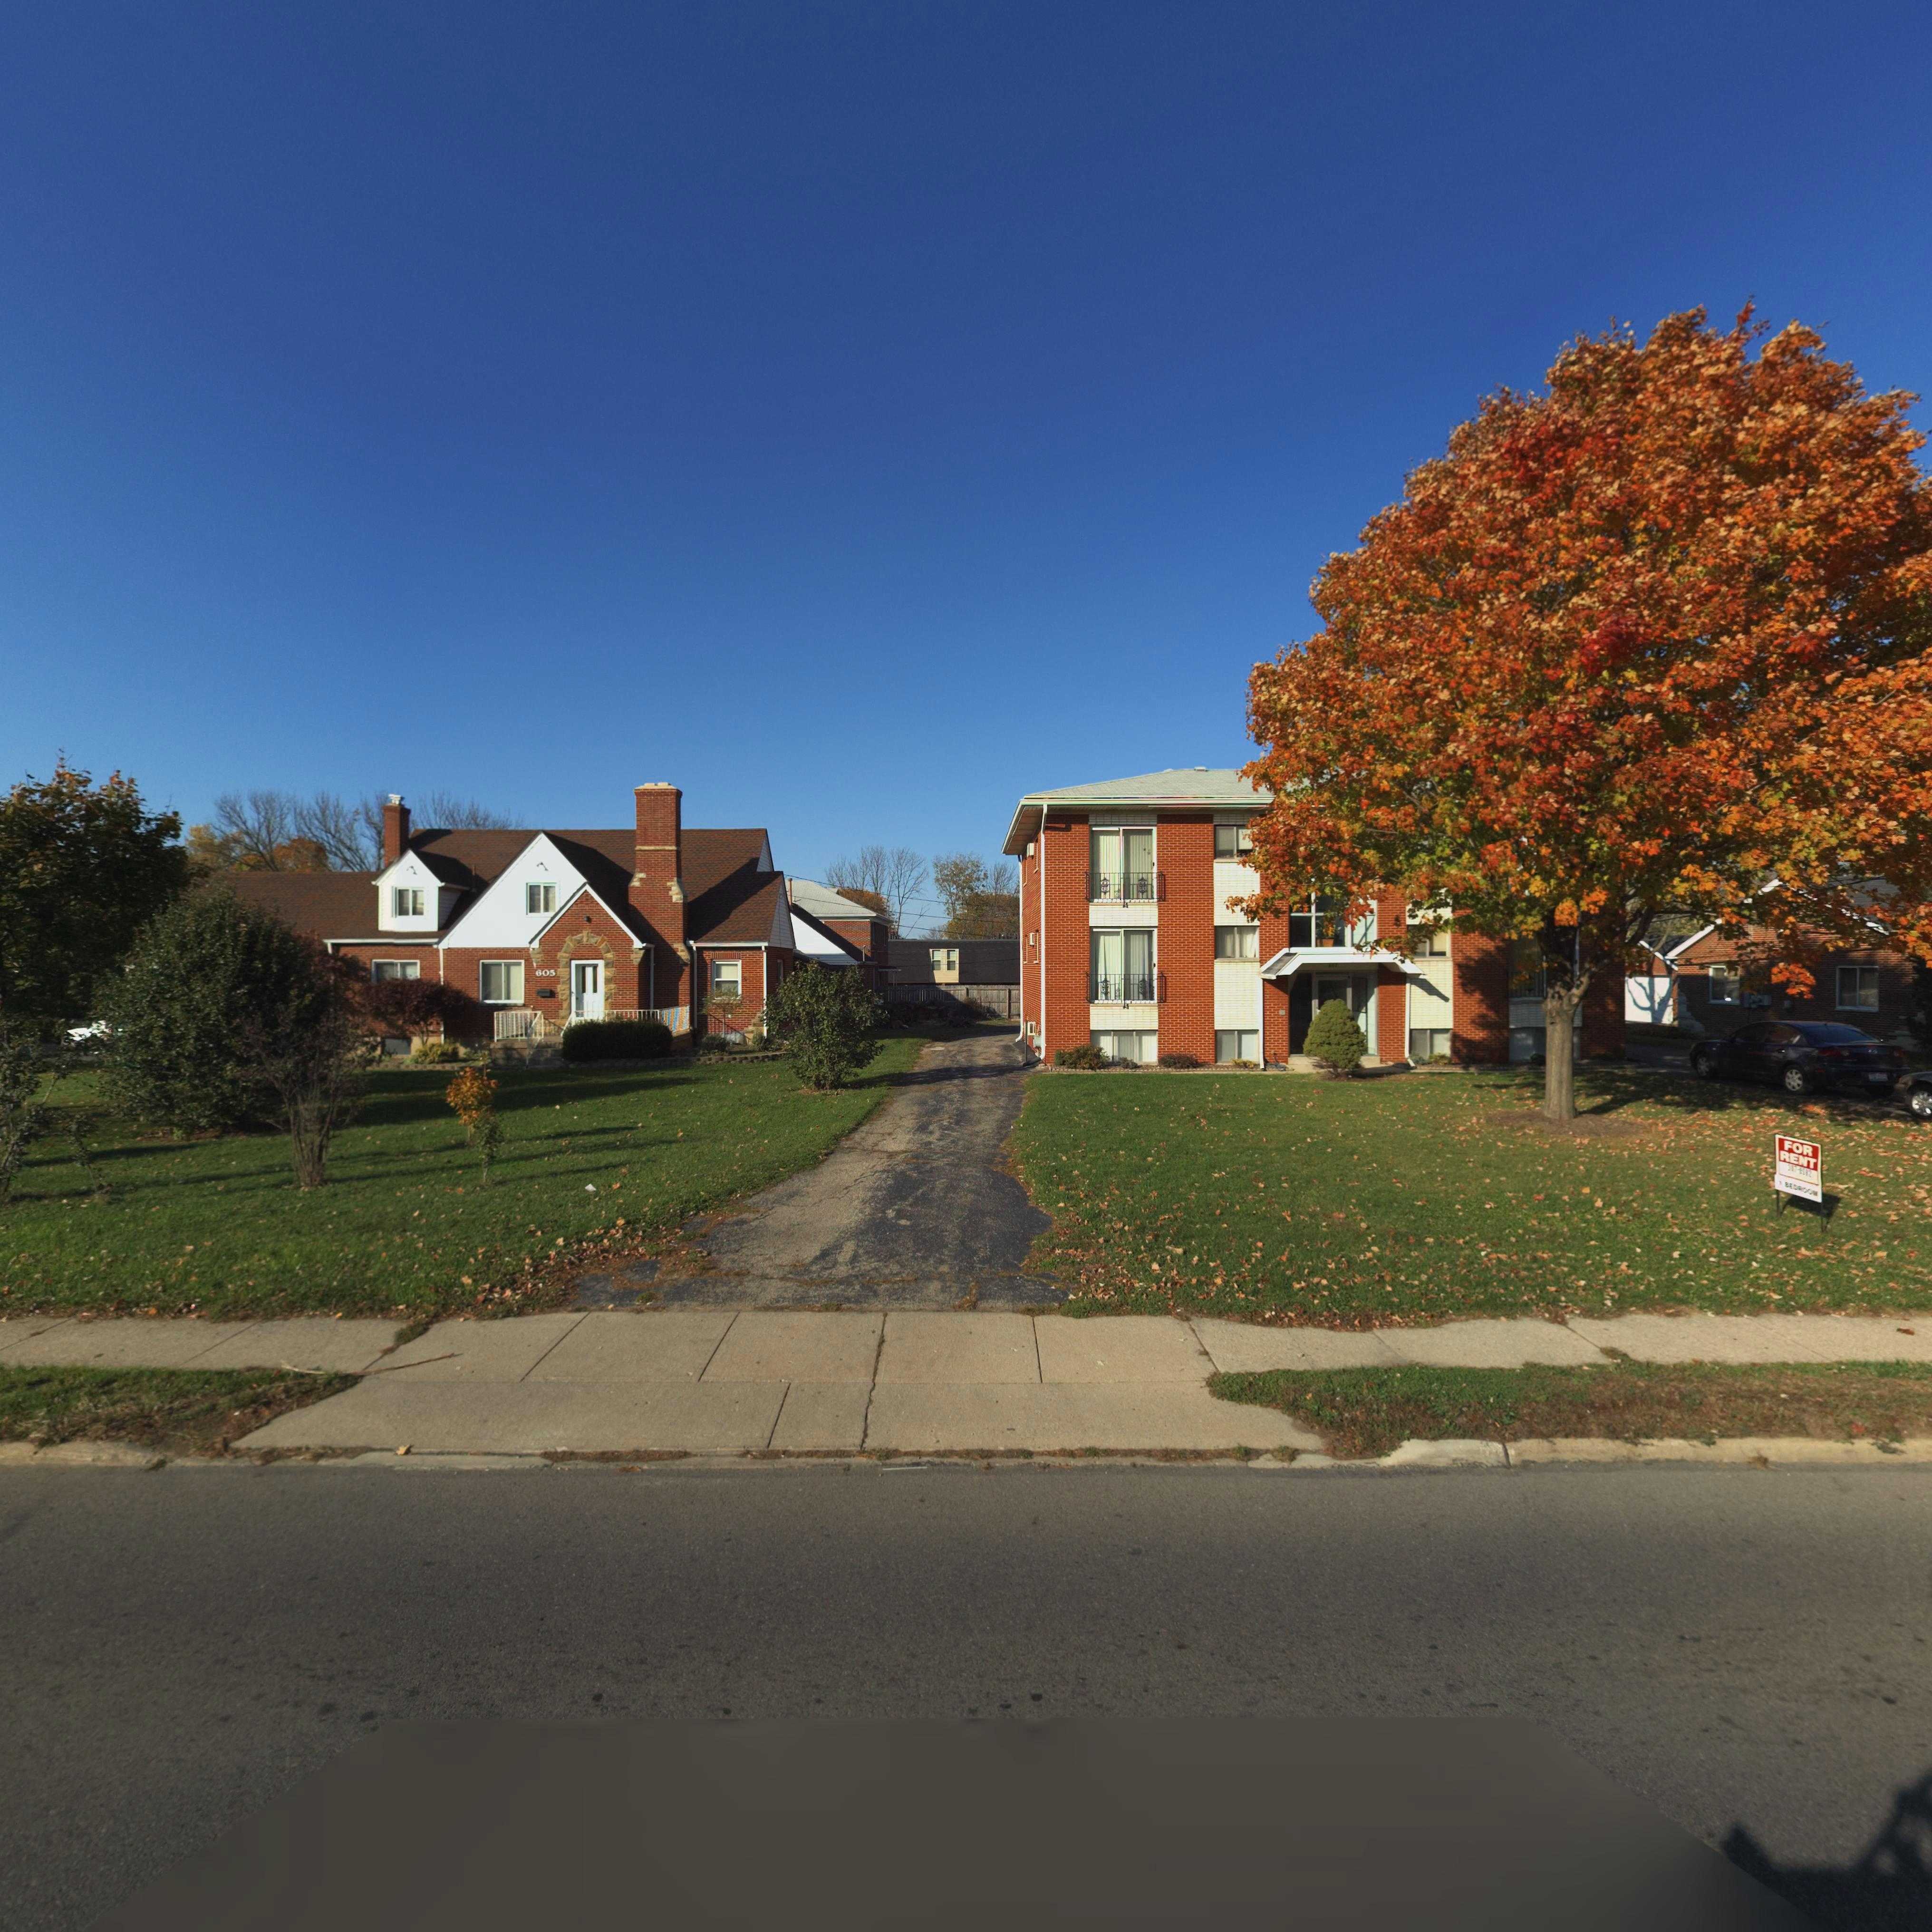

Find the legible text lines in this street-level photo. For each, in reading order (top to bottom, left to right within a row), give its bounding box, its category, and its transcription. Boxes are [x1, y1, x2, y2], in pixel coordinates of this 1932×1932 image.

[1327, 963, 1338, 968] StreetNumber: 6*s7
[534, 969, 556, 977] StreetNumber: 605